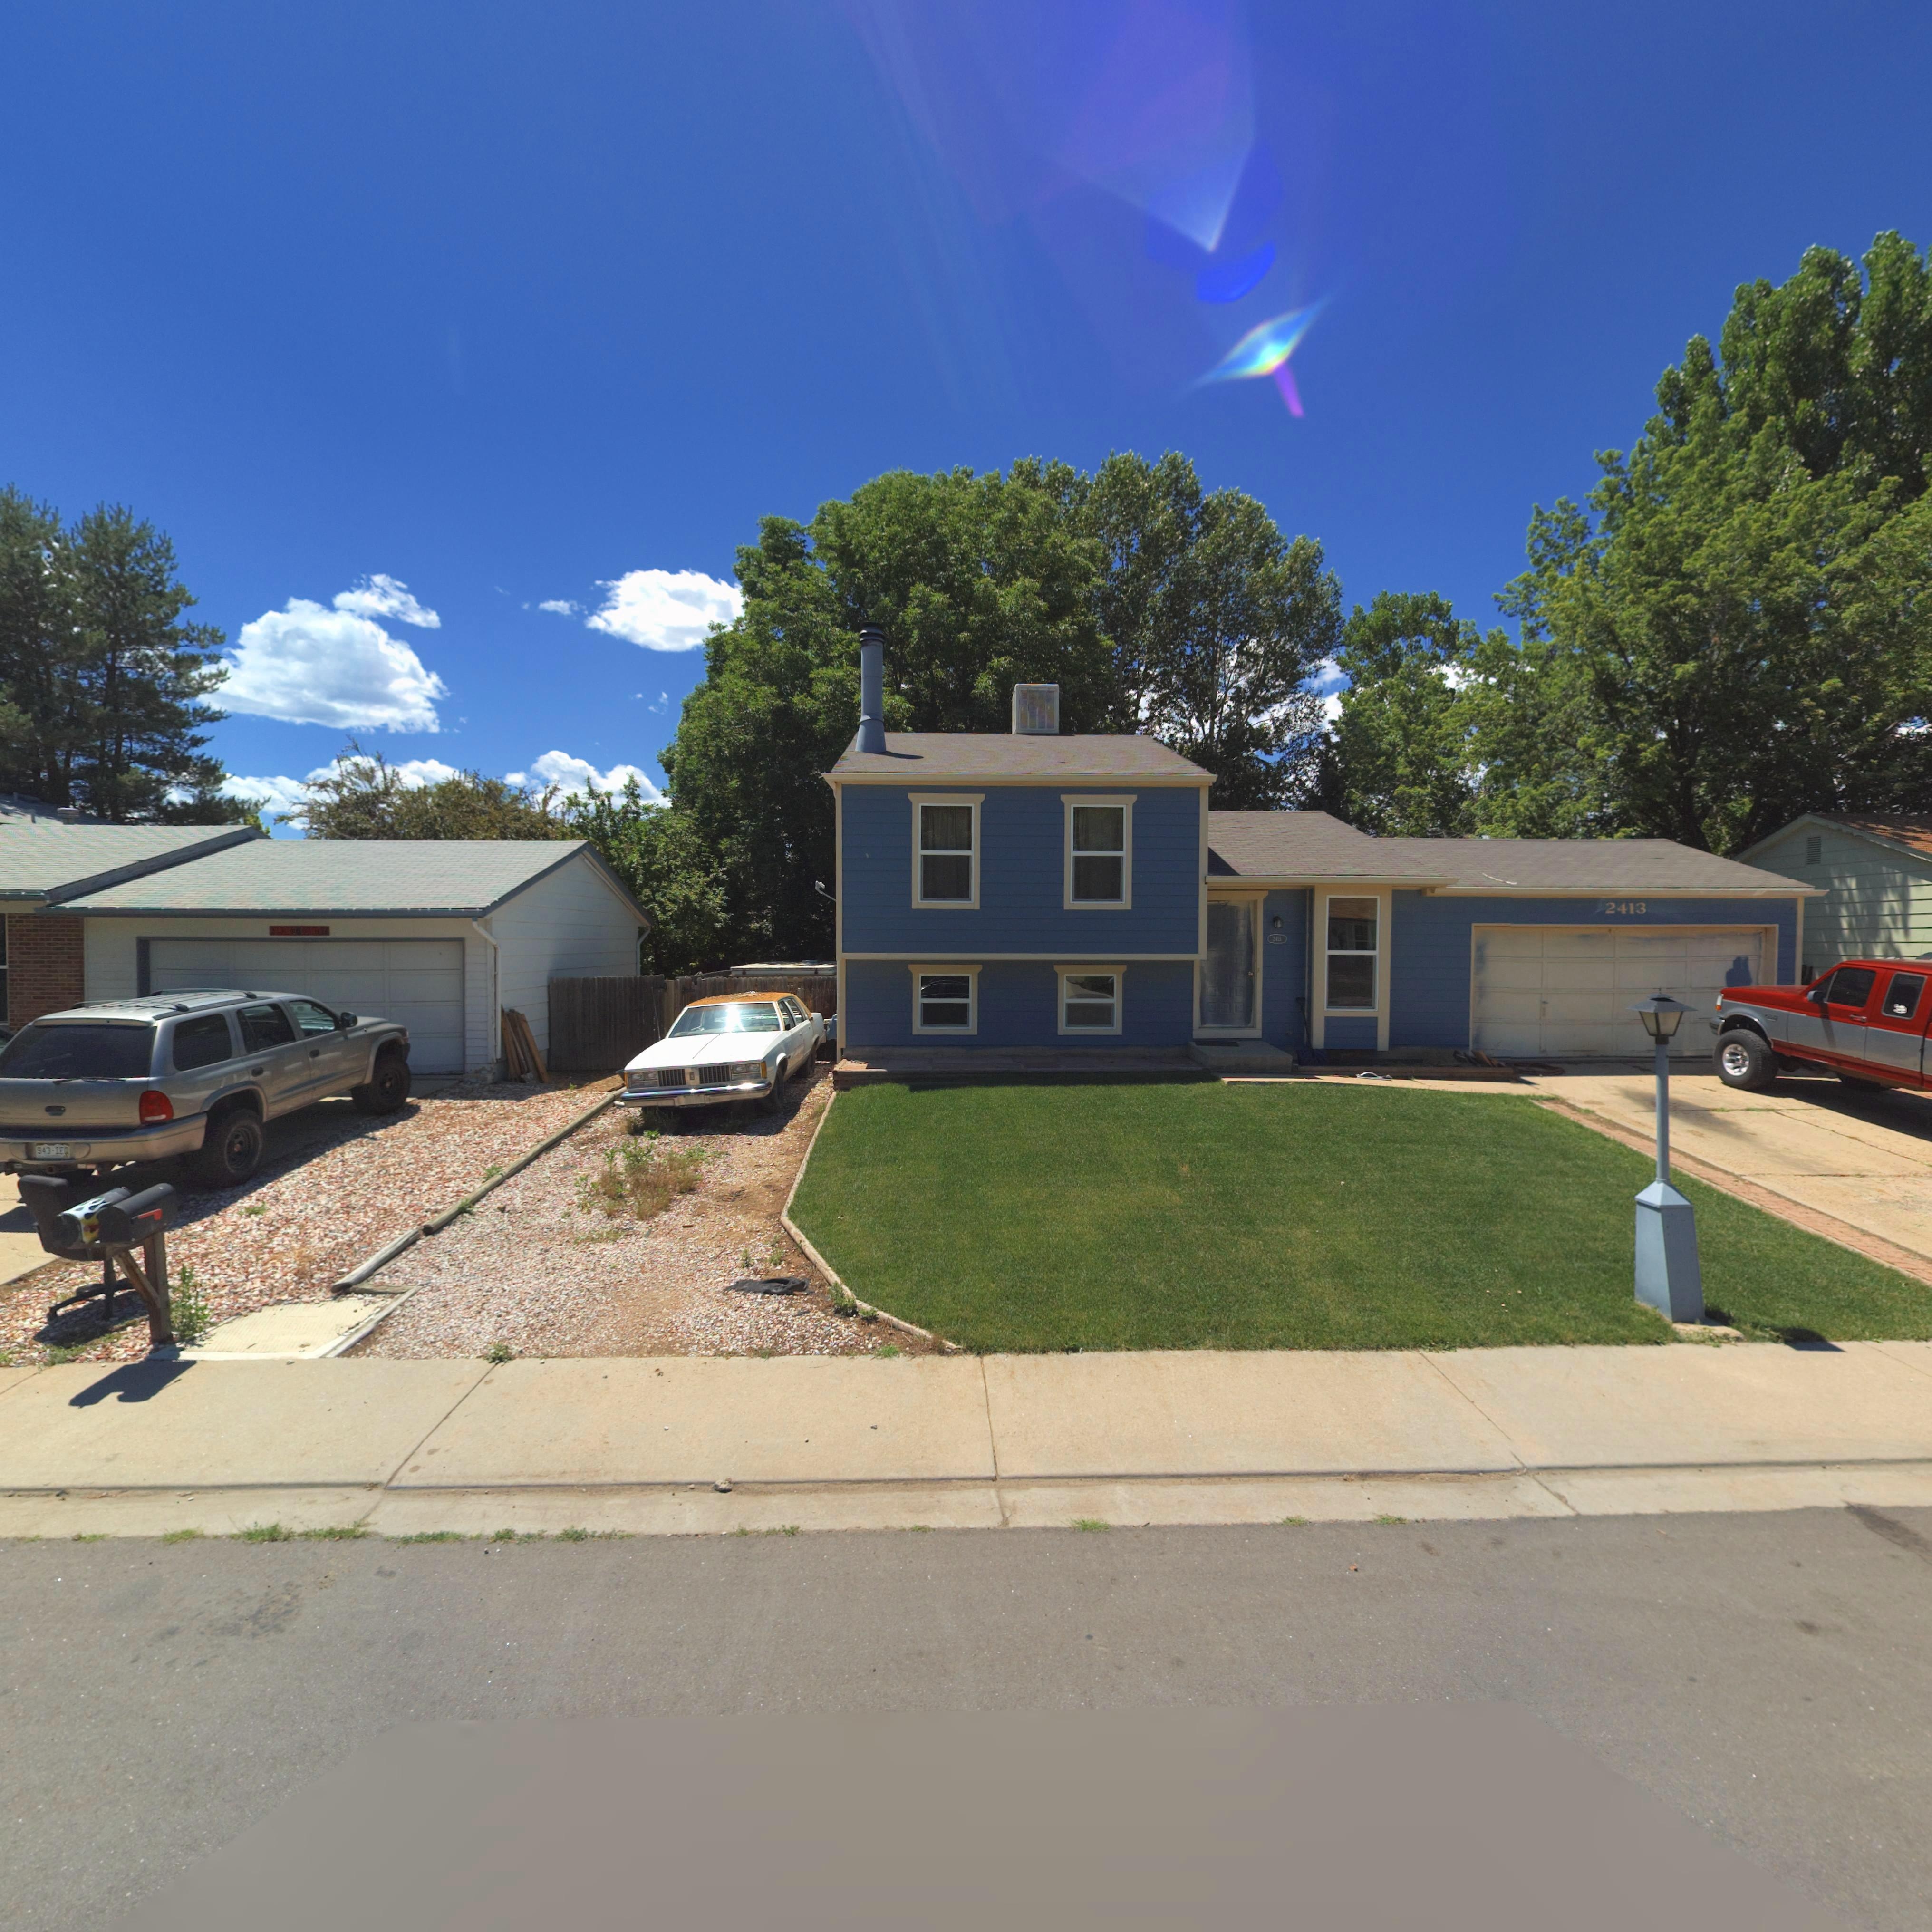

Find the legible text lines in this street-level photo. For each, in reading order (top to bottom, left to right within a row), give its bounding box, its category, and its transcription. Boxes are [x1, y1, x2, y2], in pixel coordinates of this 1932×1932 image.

[1605, 901, 1649, 915] StreetNumber: 2413
[1272, 936, 1282, 942] StreetNumber: 2413